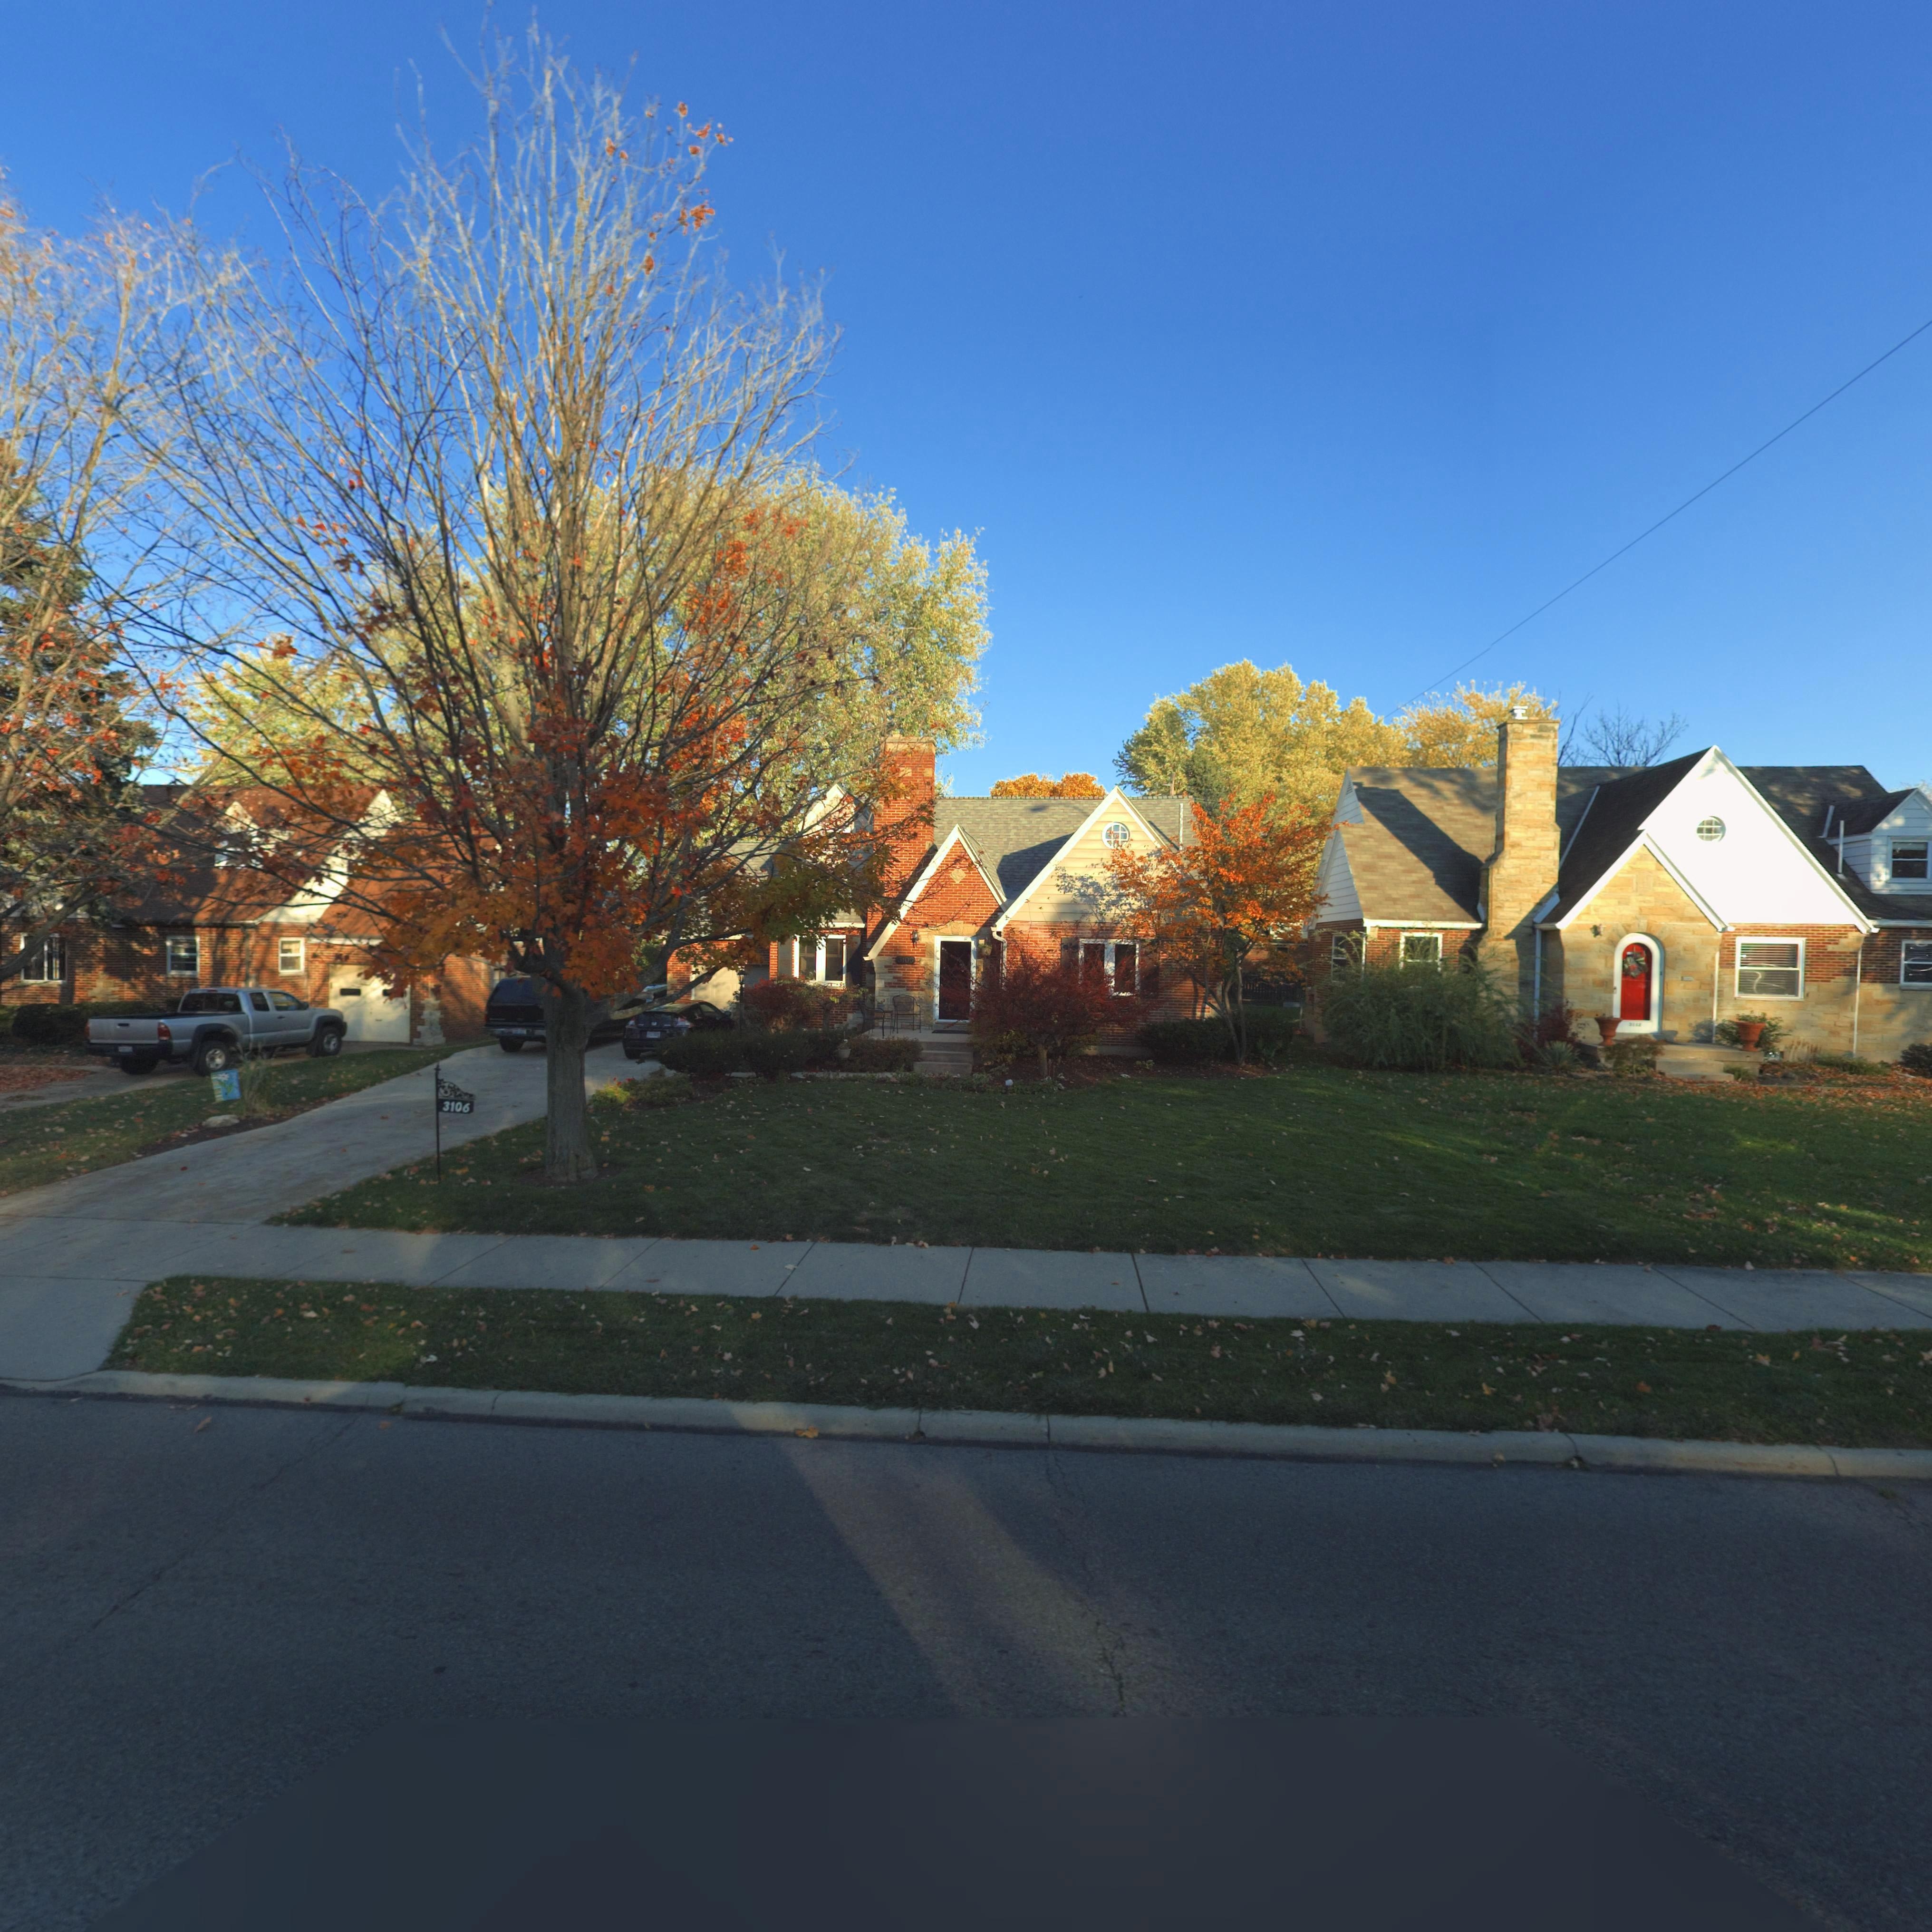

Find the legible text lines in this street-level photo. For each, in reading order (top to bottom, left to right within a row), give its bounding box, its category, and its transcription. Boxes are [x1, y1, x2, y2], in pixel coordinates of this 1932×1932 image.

[897, 956, 914, 964] StreetNumber: 3106
[441, 1100, 472, 1114] StreetNumber: 3106